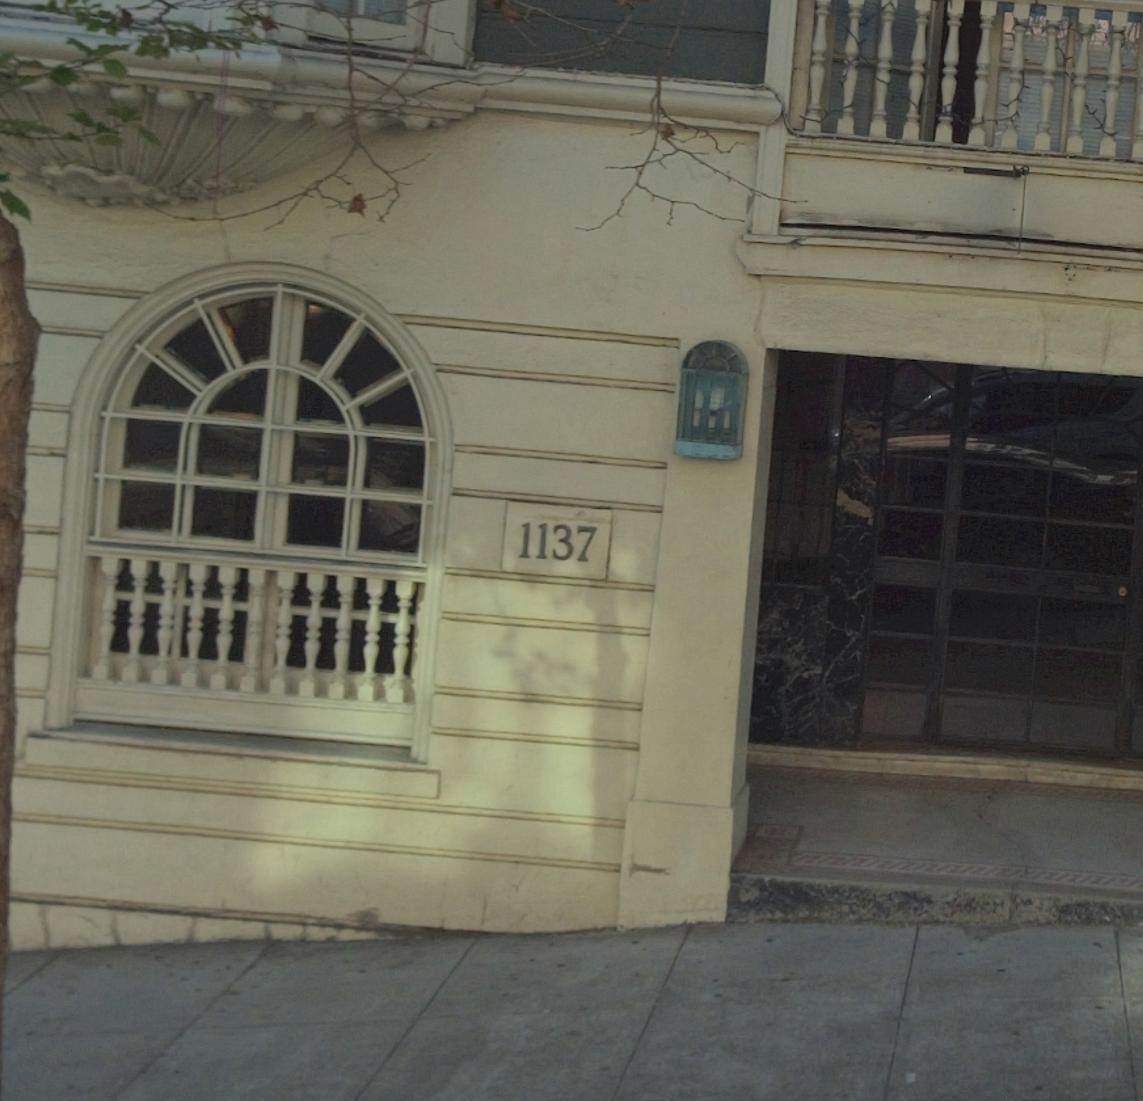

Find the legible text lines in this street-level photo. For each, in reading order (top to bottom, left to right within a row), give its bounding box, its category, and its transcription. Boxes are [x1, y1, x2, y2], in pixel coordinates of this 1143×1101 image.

[517, 520, 601, 564] StreetNumber: 1137